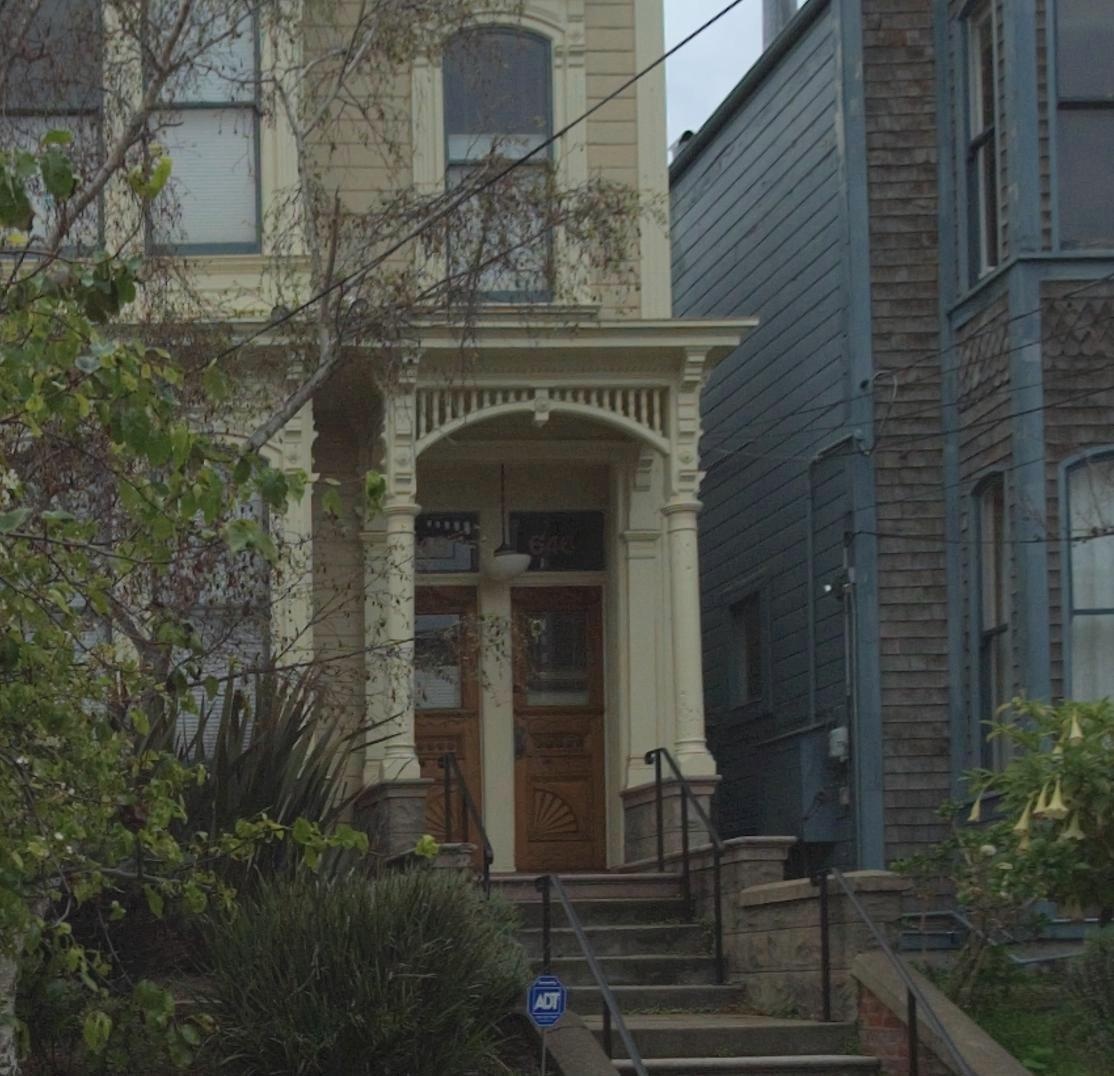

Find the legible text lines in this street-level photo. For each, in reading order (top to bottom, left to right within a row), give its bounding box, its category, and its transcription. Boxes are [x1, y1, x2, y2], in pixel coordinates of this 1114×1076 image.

[527, 532, 576, 557] StreetNumber: 646
[532, 991, 561, 1011] None: ADT